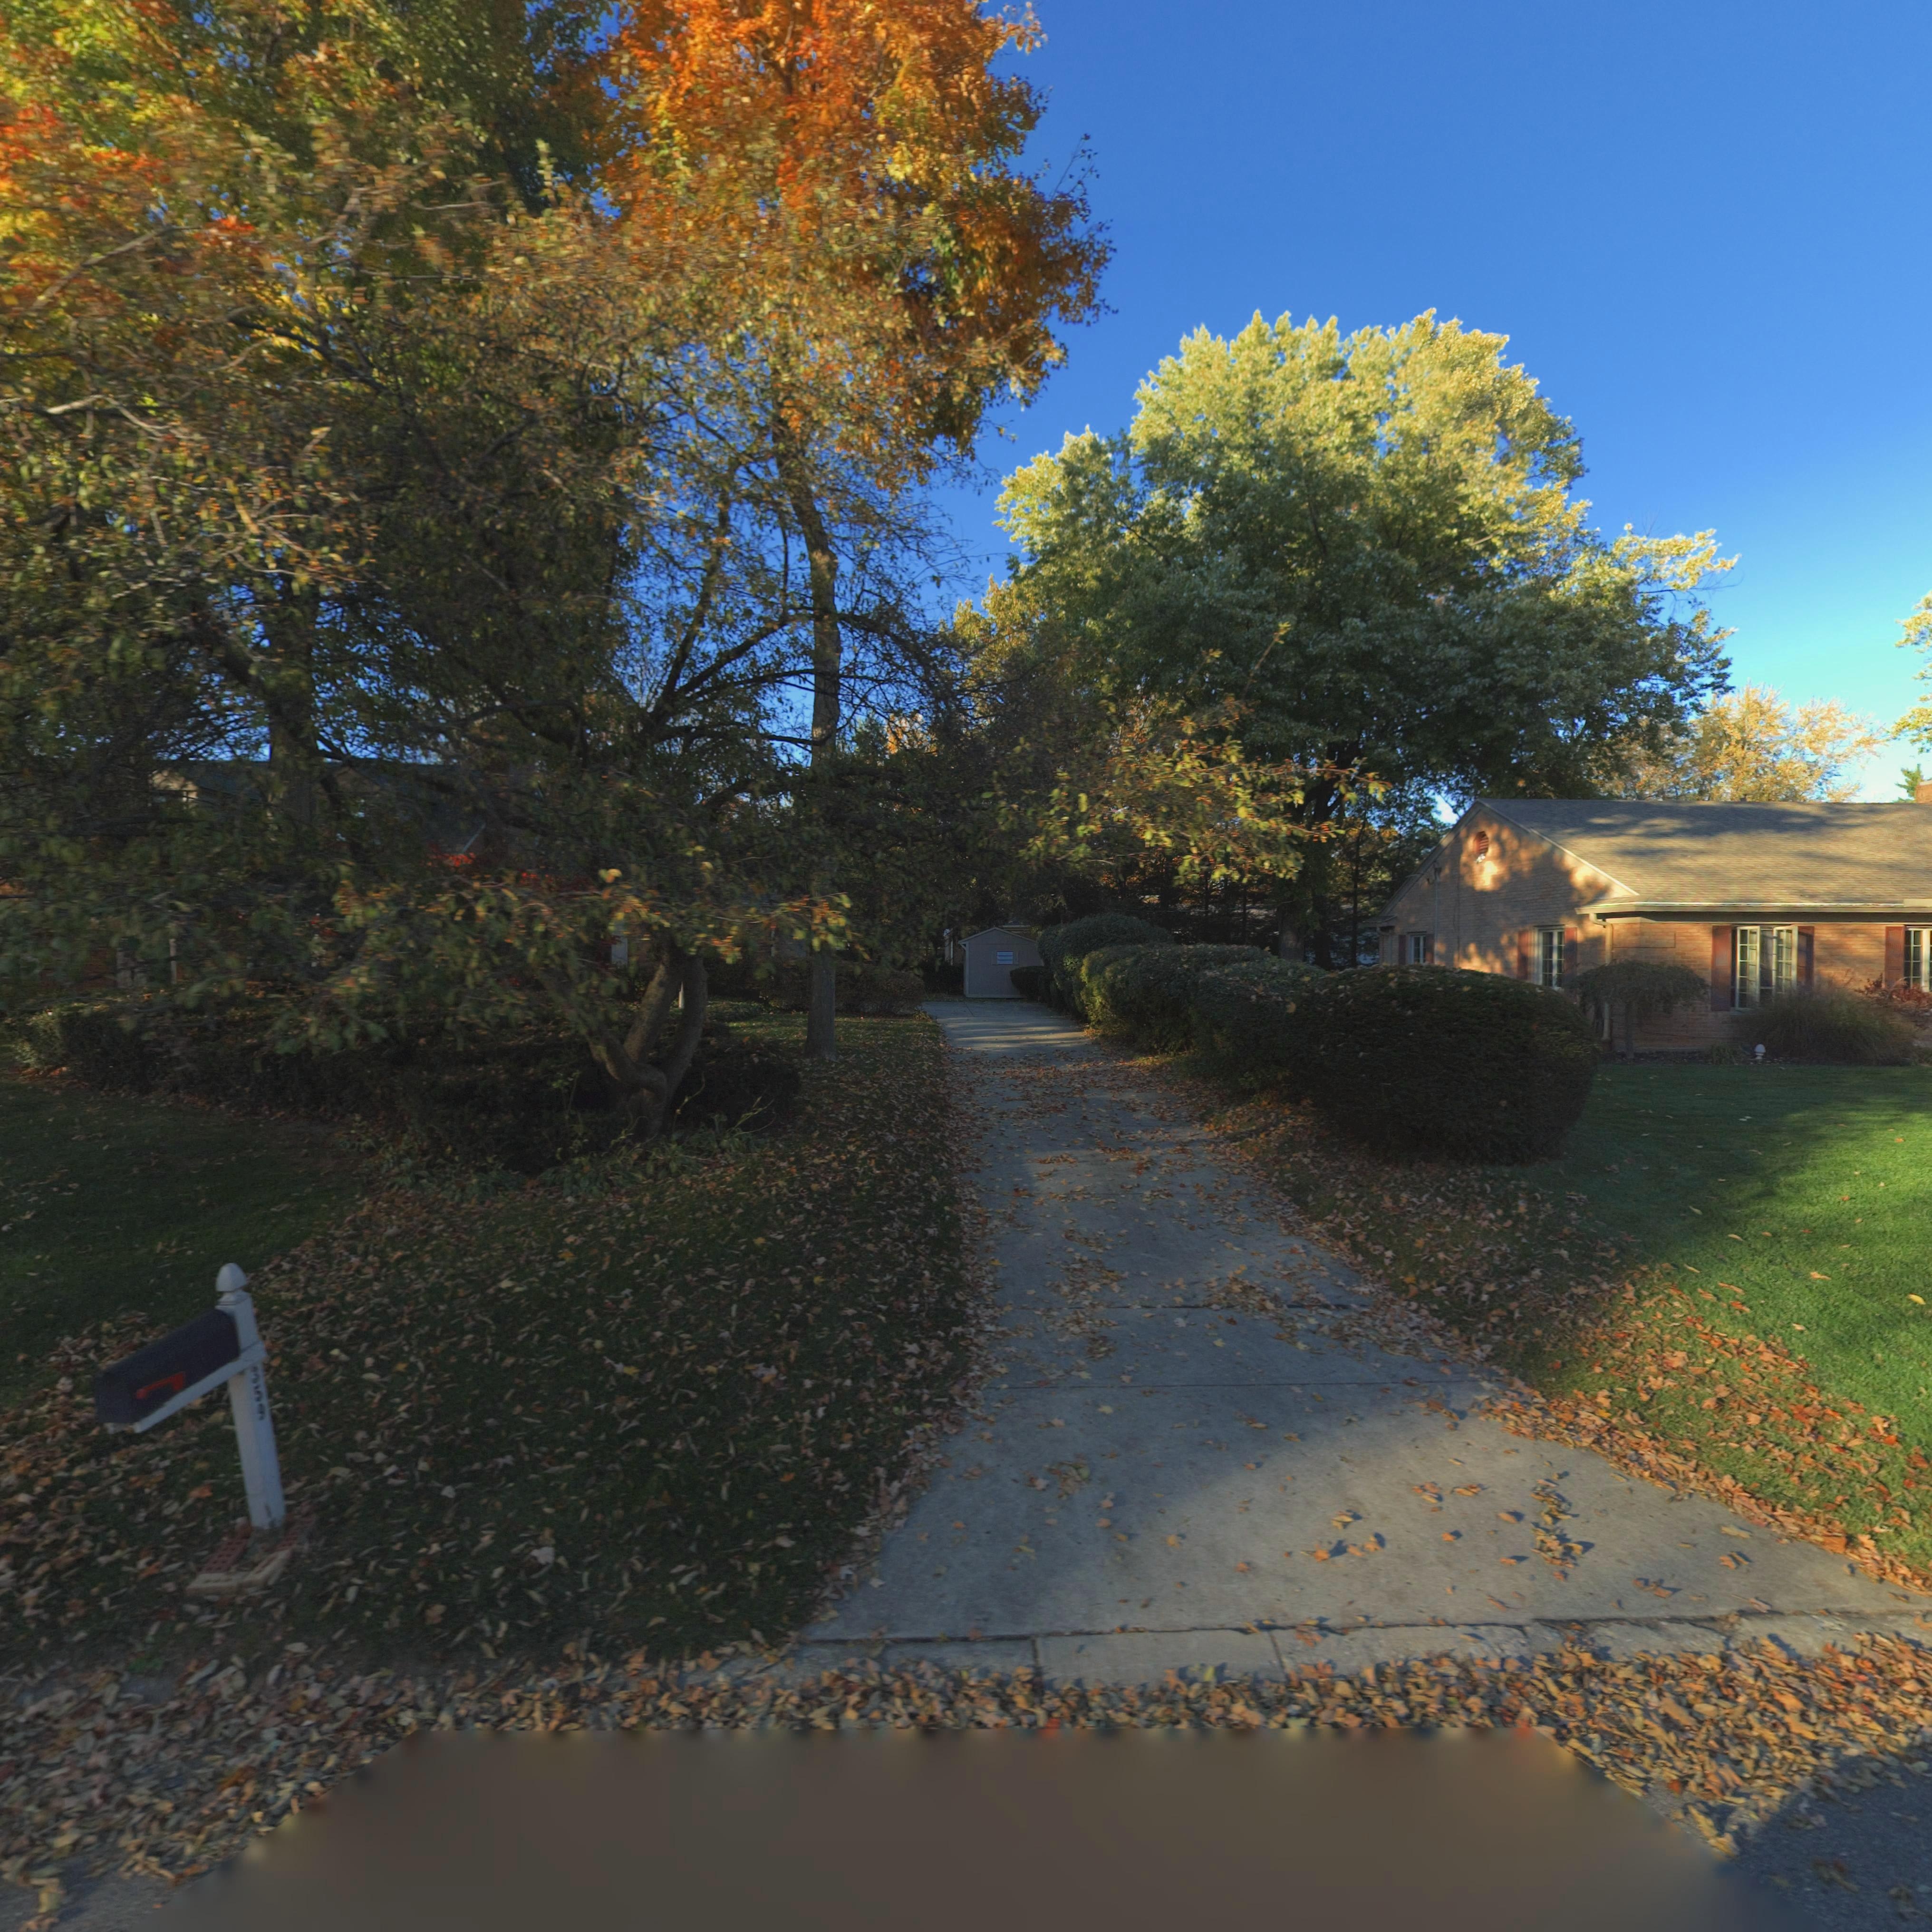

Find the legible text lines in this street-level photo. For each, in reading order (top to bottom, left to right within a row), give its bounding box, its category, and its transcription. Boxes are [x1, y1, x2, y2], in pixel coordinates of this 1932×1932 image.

[246, 1361, 270, 1423] StreetNumber: 359